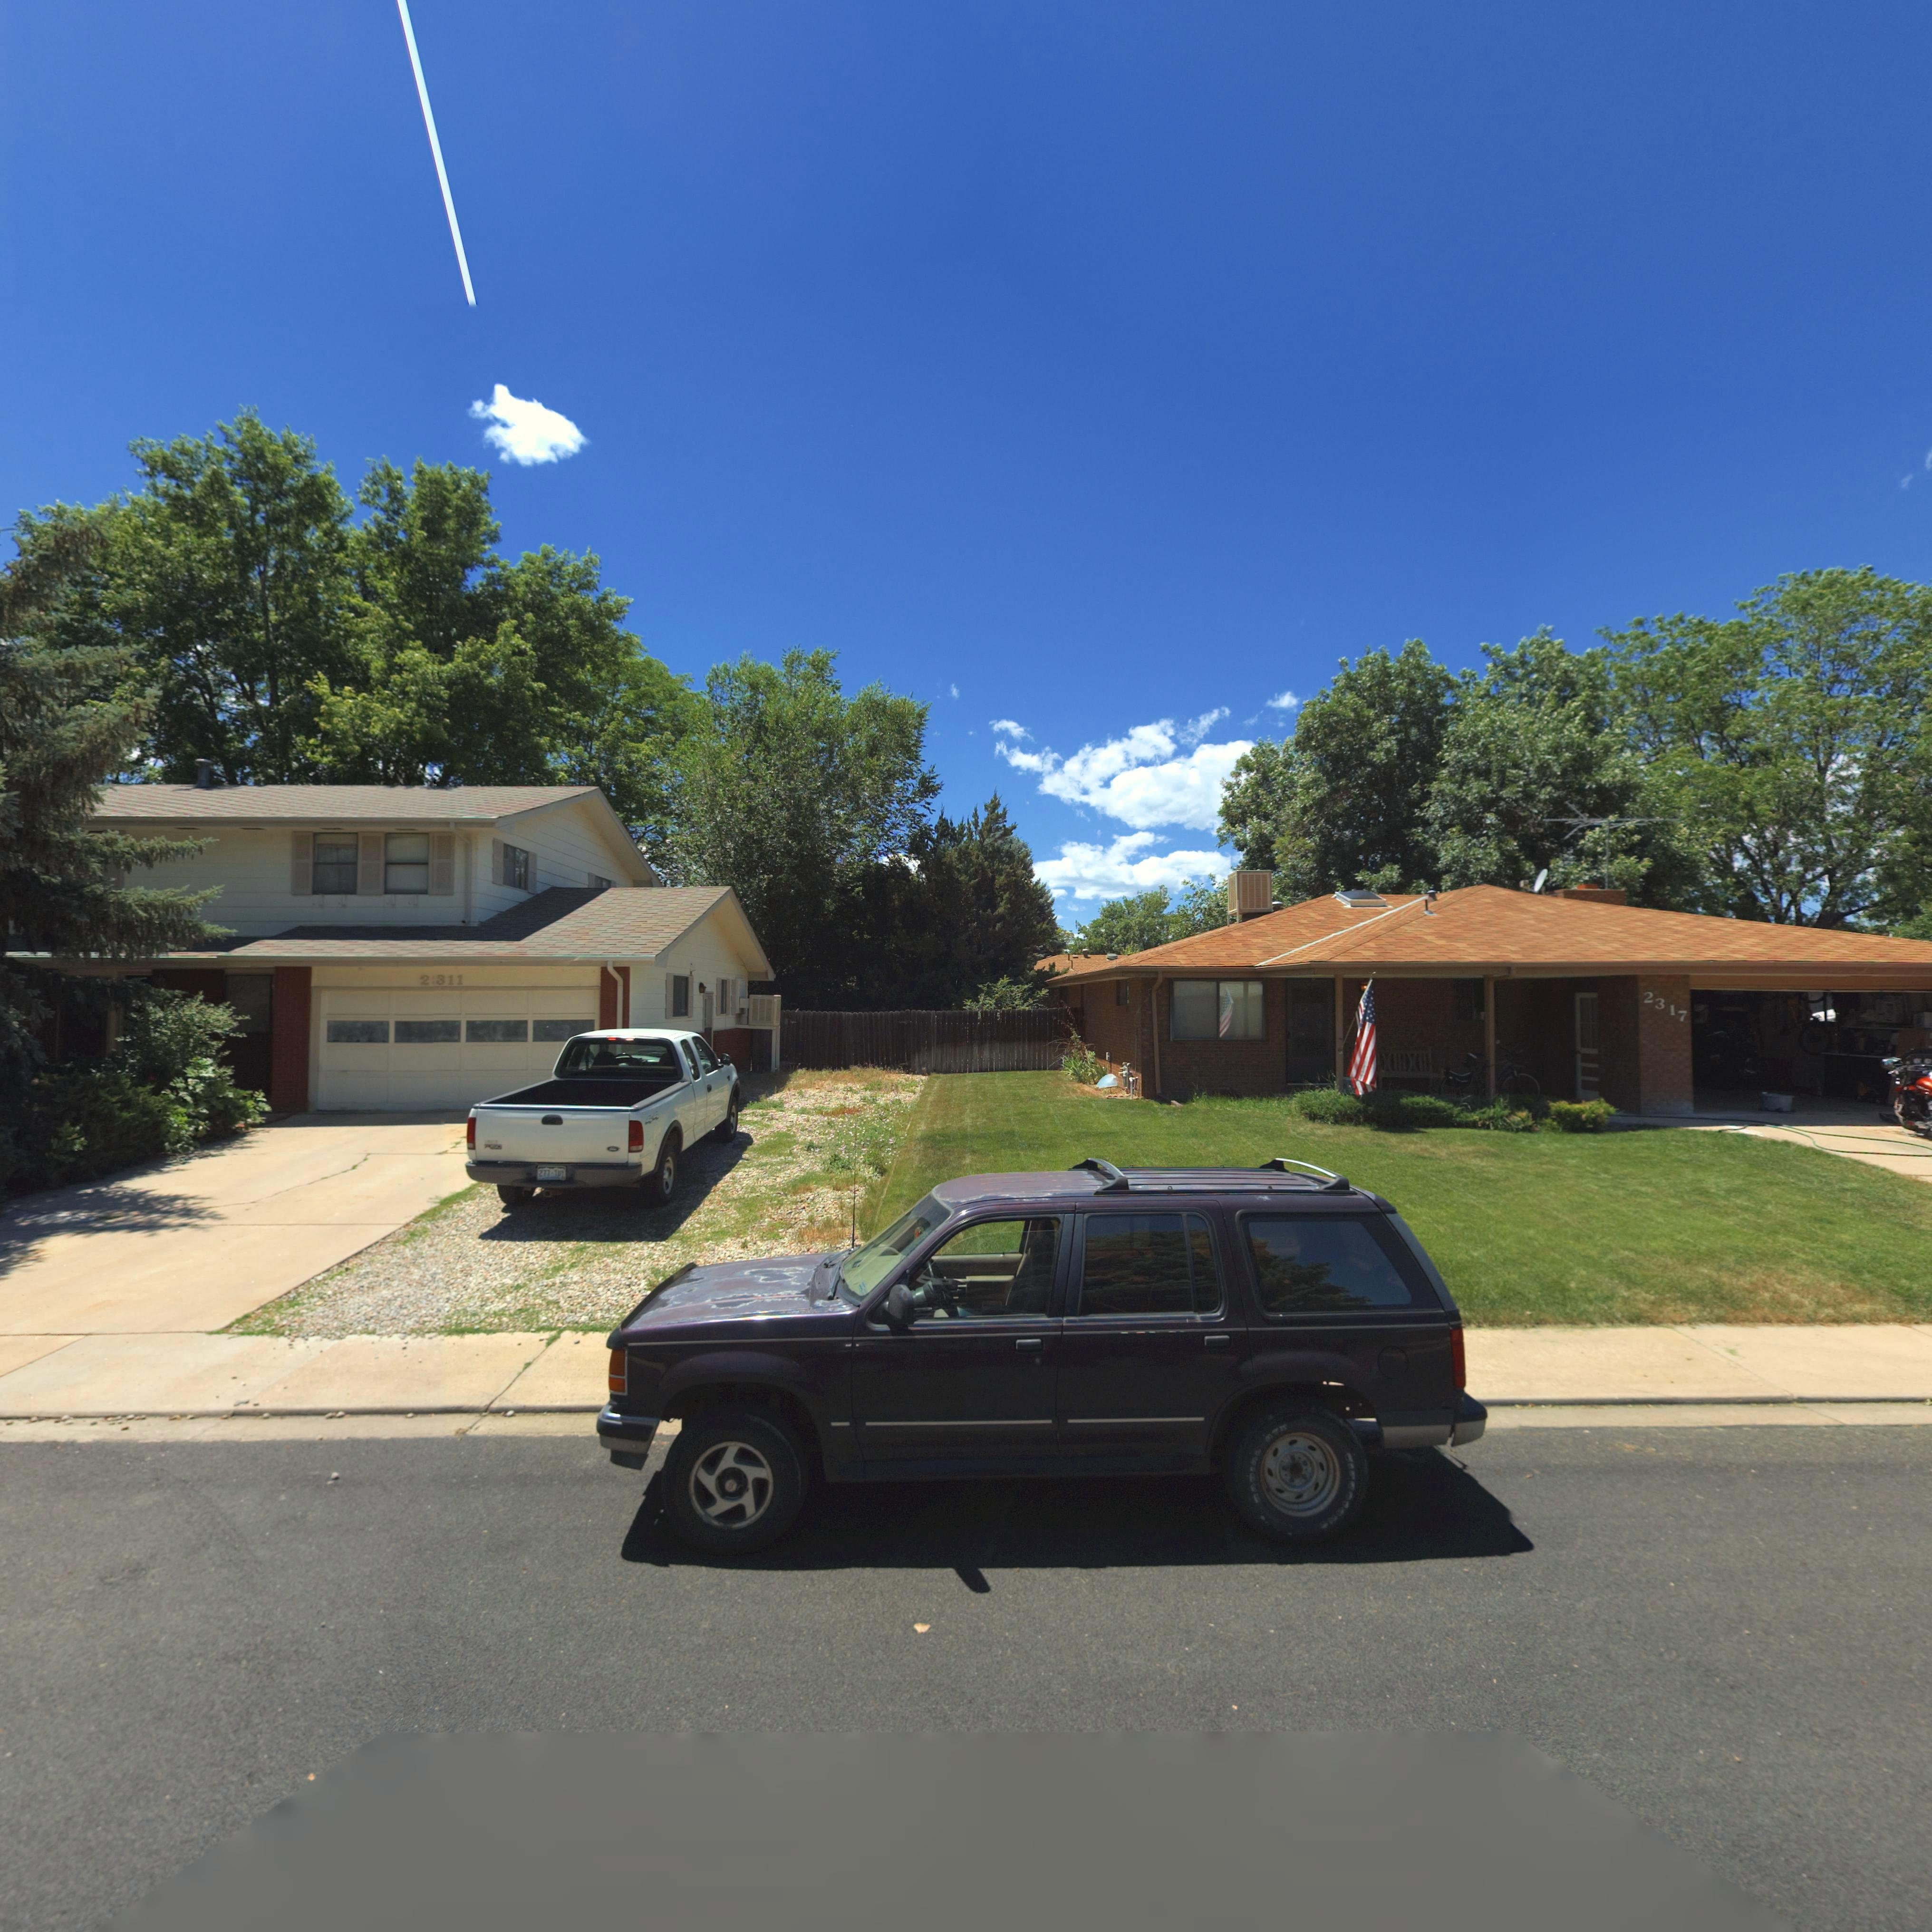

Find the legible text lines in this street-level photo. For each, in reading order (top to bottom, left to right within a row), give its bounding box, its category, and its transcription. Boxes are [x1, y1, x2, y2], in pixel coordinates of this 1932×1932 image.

[418, 973, 464, 985] StreetNumber: 2311
[1643, 991, 1688, 1022] StreetNumber: 2317